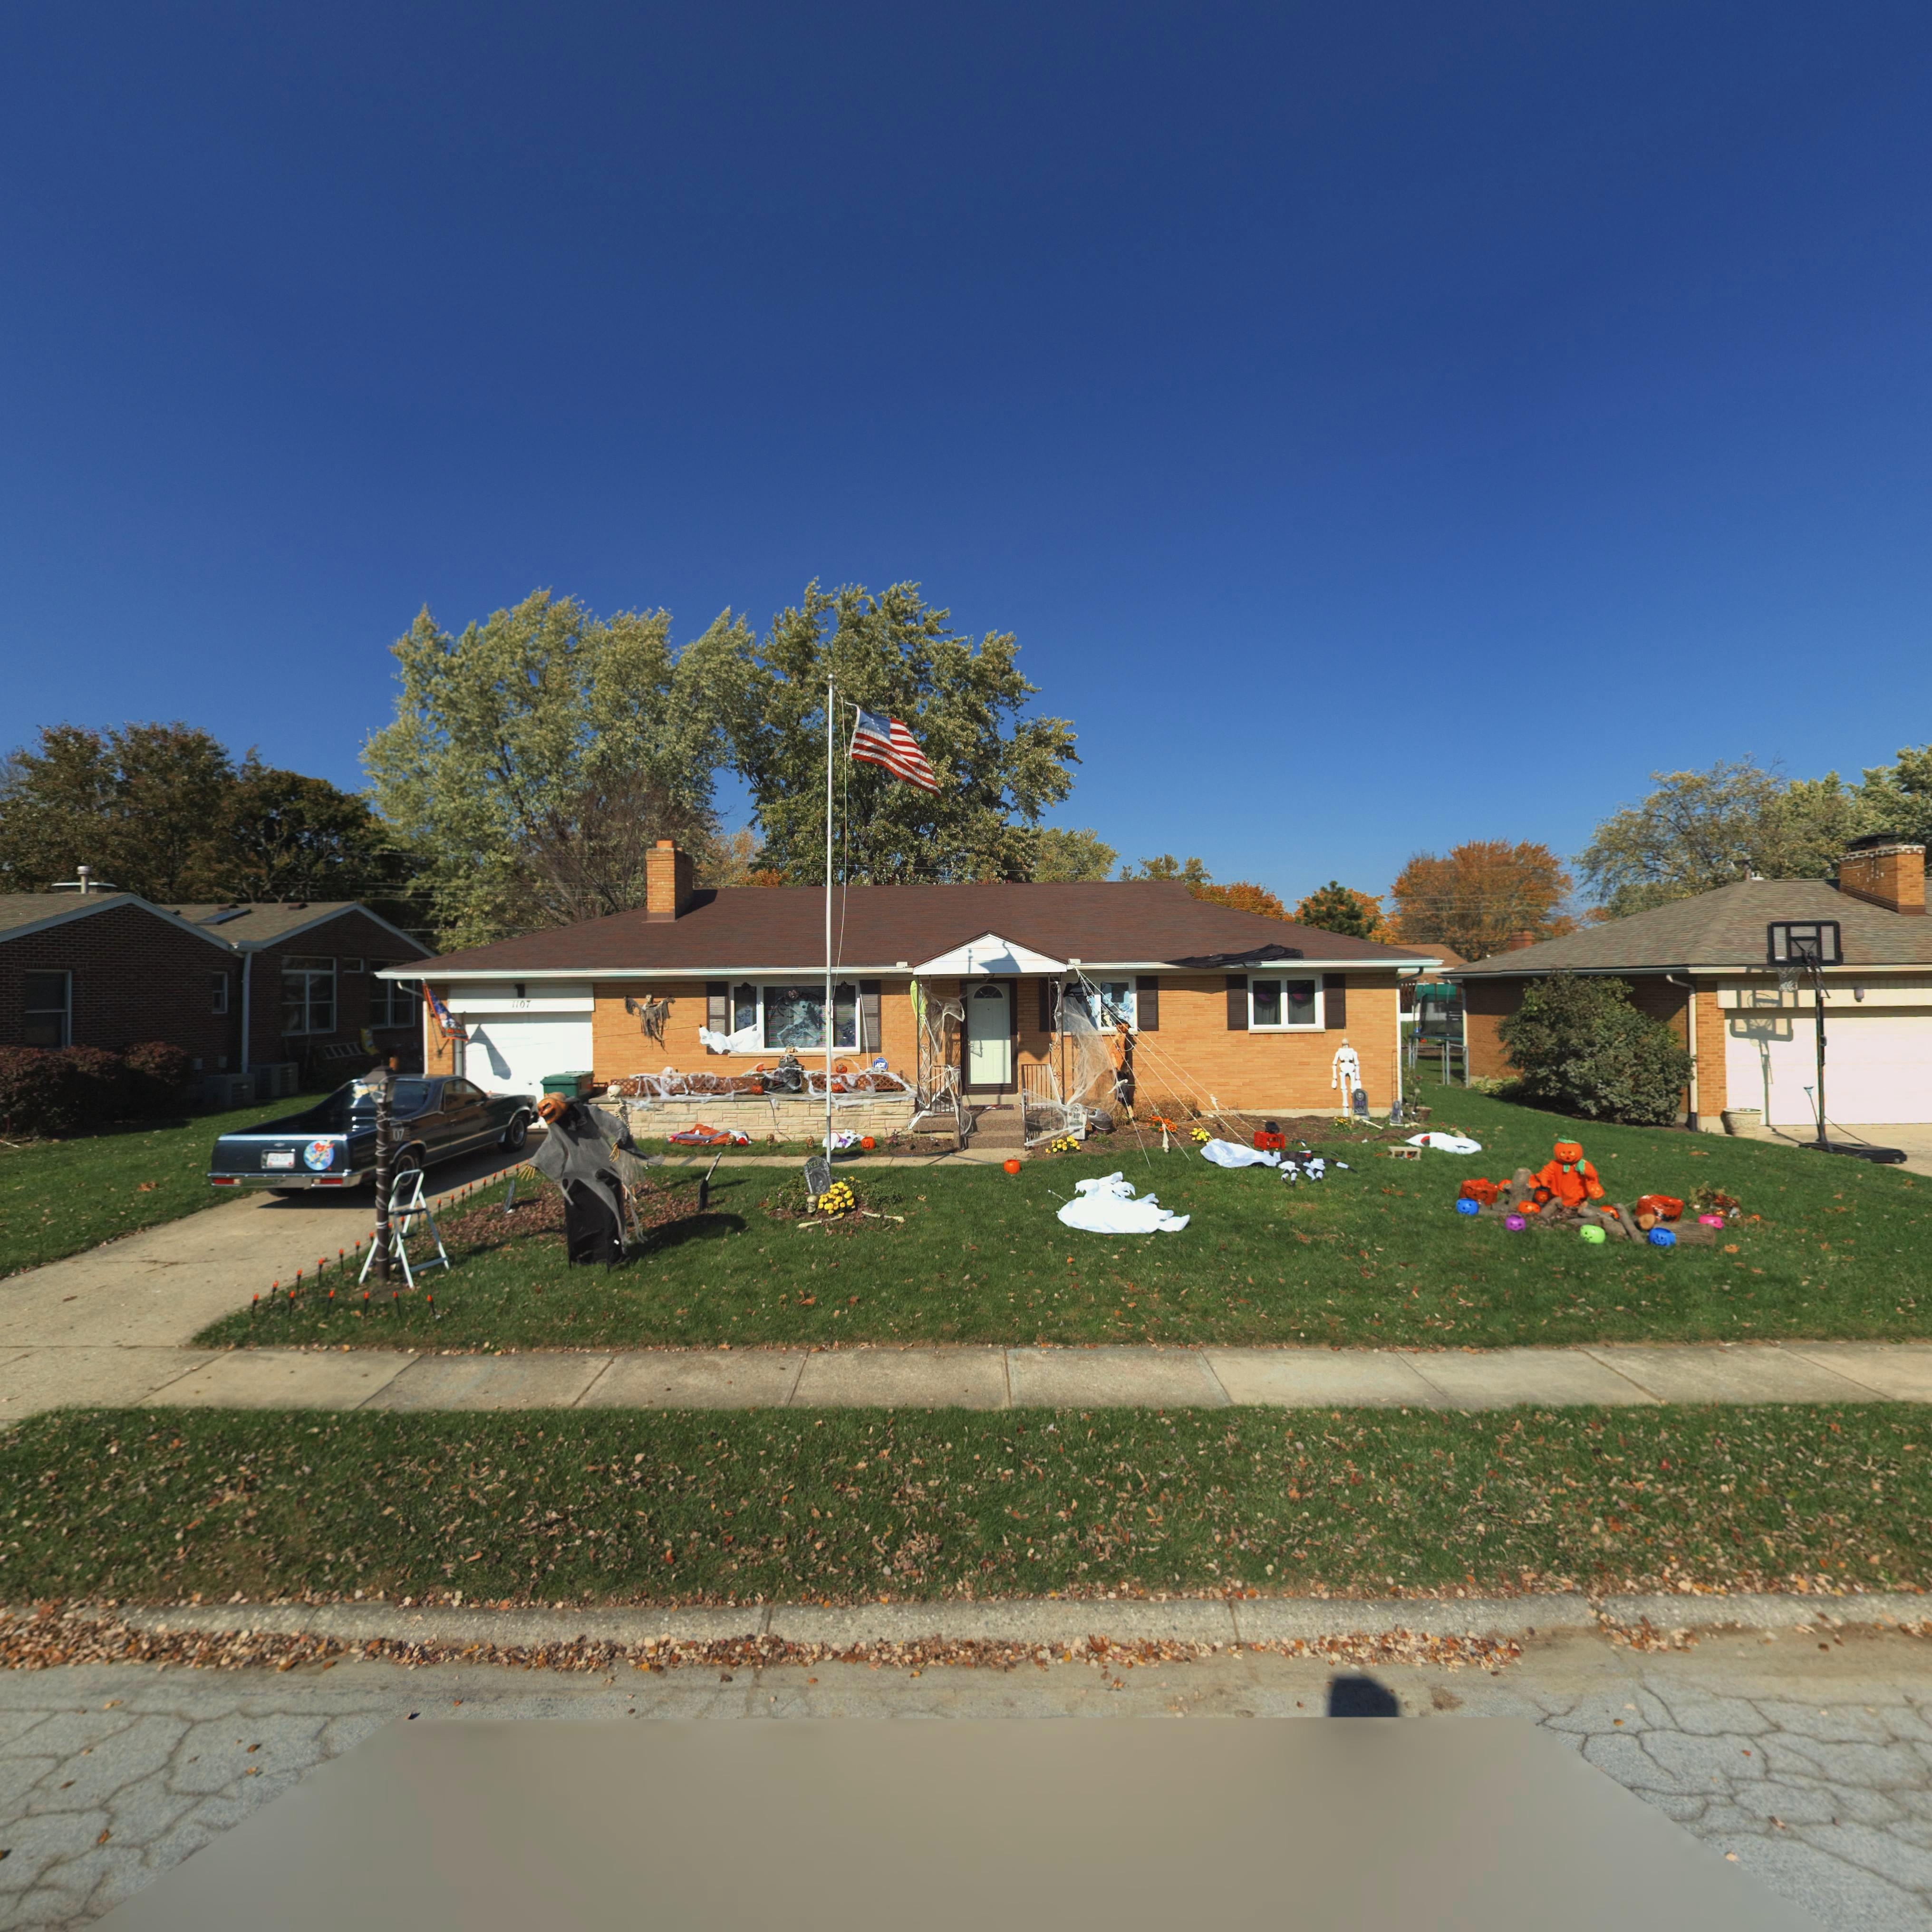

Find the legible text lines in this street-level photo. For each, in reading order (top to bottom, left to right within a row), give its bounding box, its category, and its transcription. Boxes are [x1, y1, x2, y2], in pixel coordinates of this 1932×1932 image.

[511, 1000, 531, 1008] StreetNumber: 1107
[875, 1062, 886, 1068] None: ADT
[391, 1128, 405, 1141] StreetNumber: 107
[267, 1154, 293, 1162] None: GEO2311
[807, 1159, 822, 1169] None: RIP